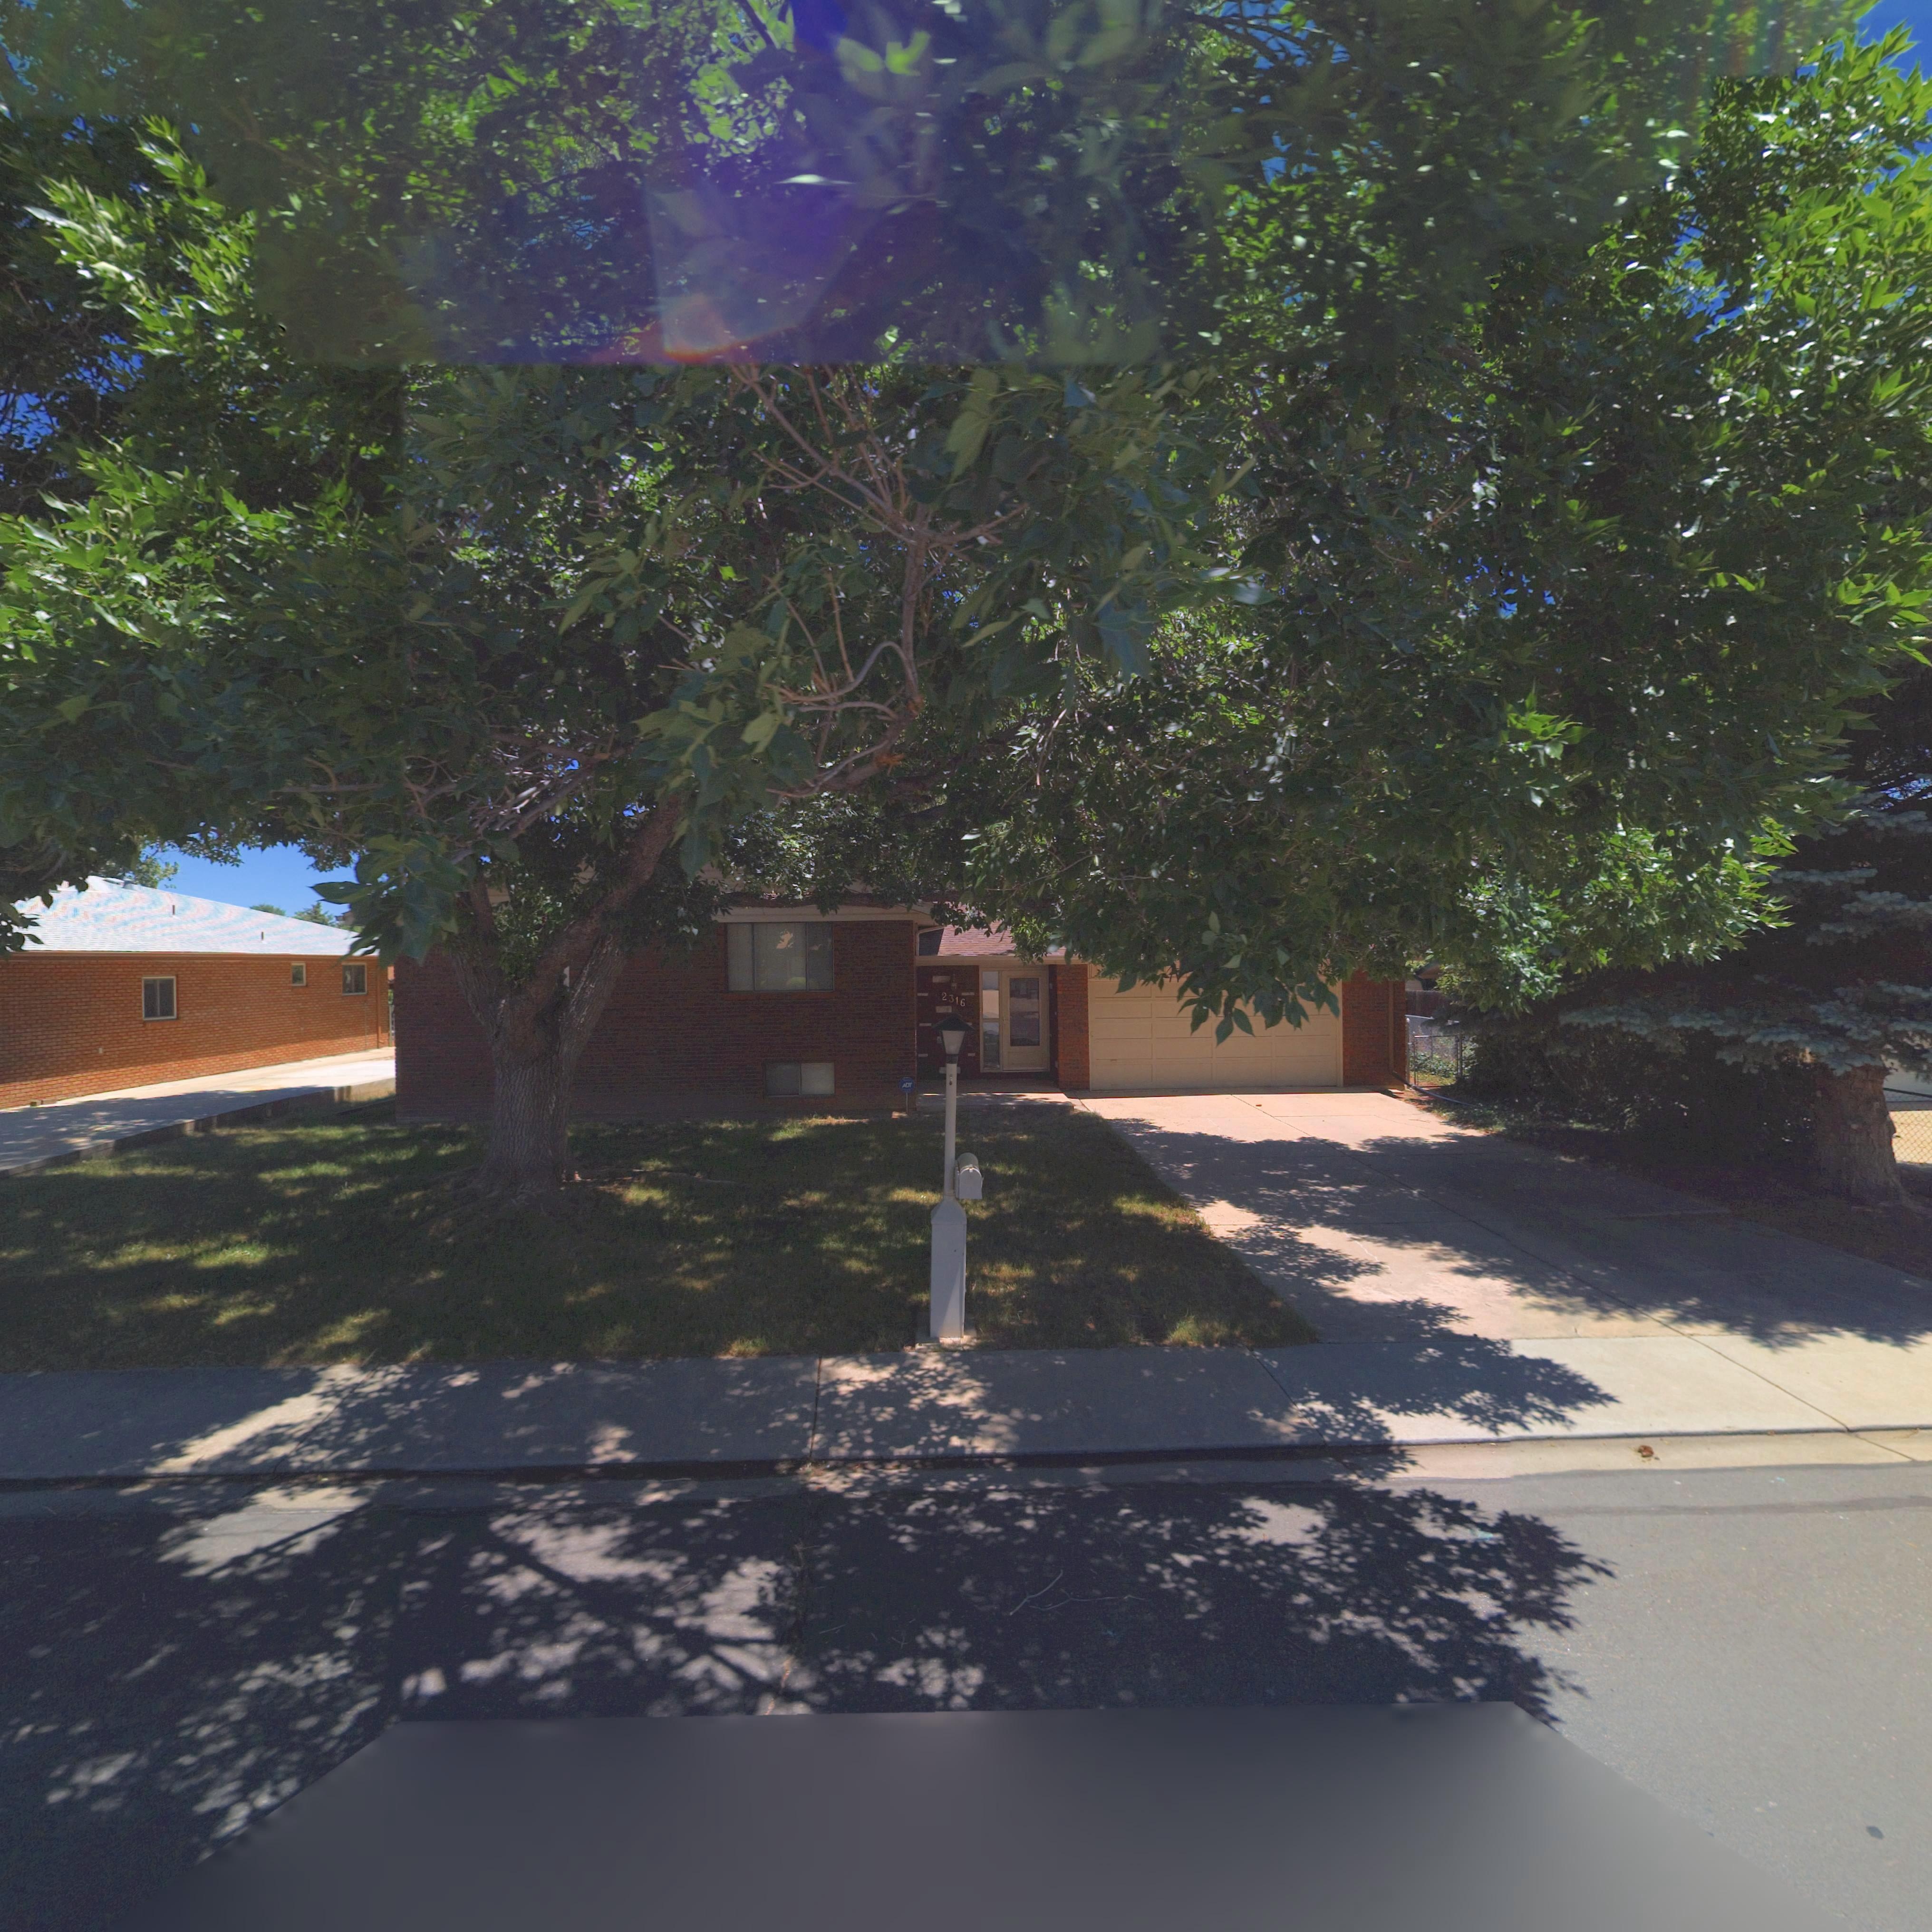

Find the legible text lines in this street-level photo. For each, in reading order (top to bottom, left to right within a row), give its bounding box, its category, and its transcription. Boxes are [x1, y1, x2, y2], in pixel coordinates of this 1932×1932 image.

[941, 991, 965, 1007] StreetNumber: 2316